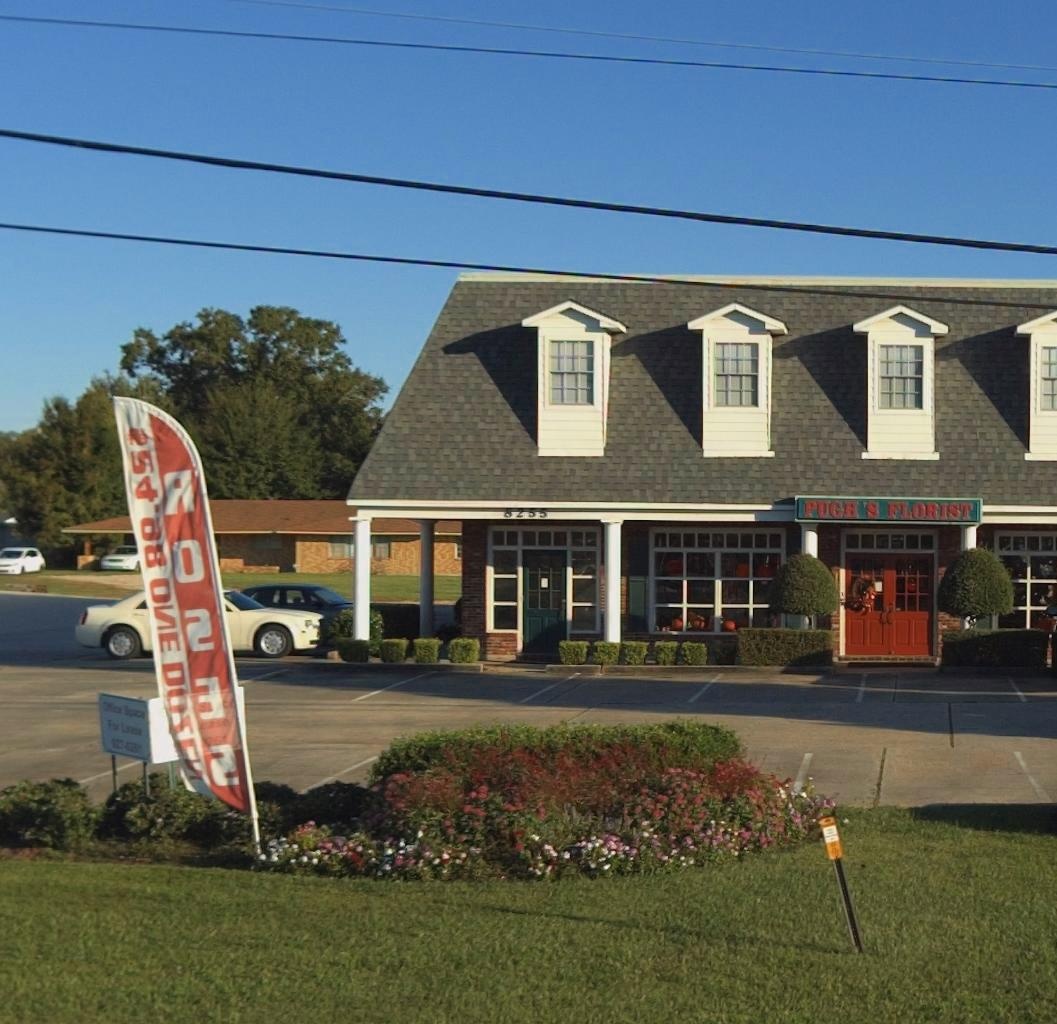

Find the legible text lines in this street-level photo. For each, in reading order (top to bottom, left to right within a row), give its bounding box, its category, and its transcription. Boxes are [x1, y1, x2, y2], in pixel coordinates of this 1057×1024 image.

[124, 444, 199, 740] None: 54.** O*E D0*
[159, 465, 247, 794] None: *O***
[501, 506, 550, 520] StreetNumber: 8255
[802, 498, 975, 522] BusinessName: PUGH'S FLORIST